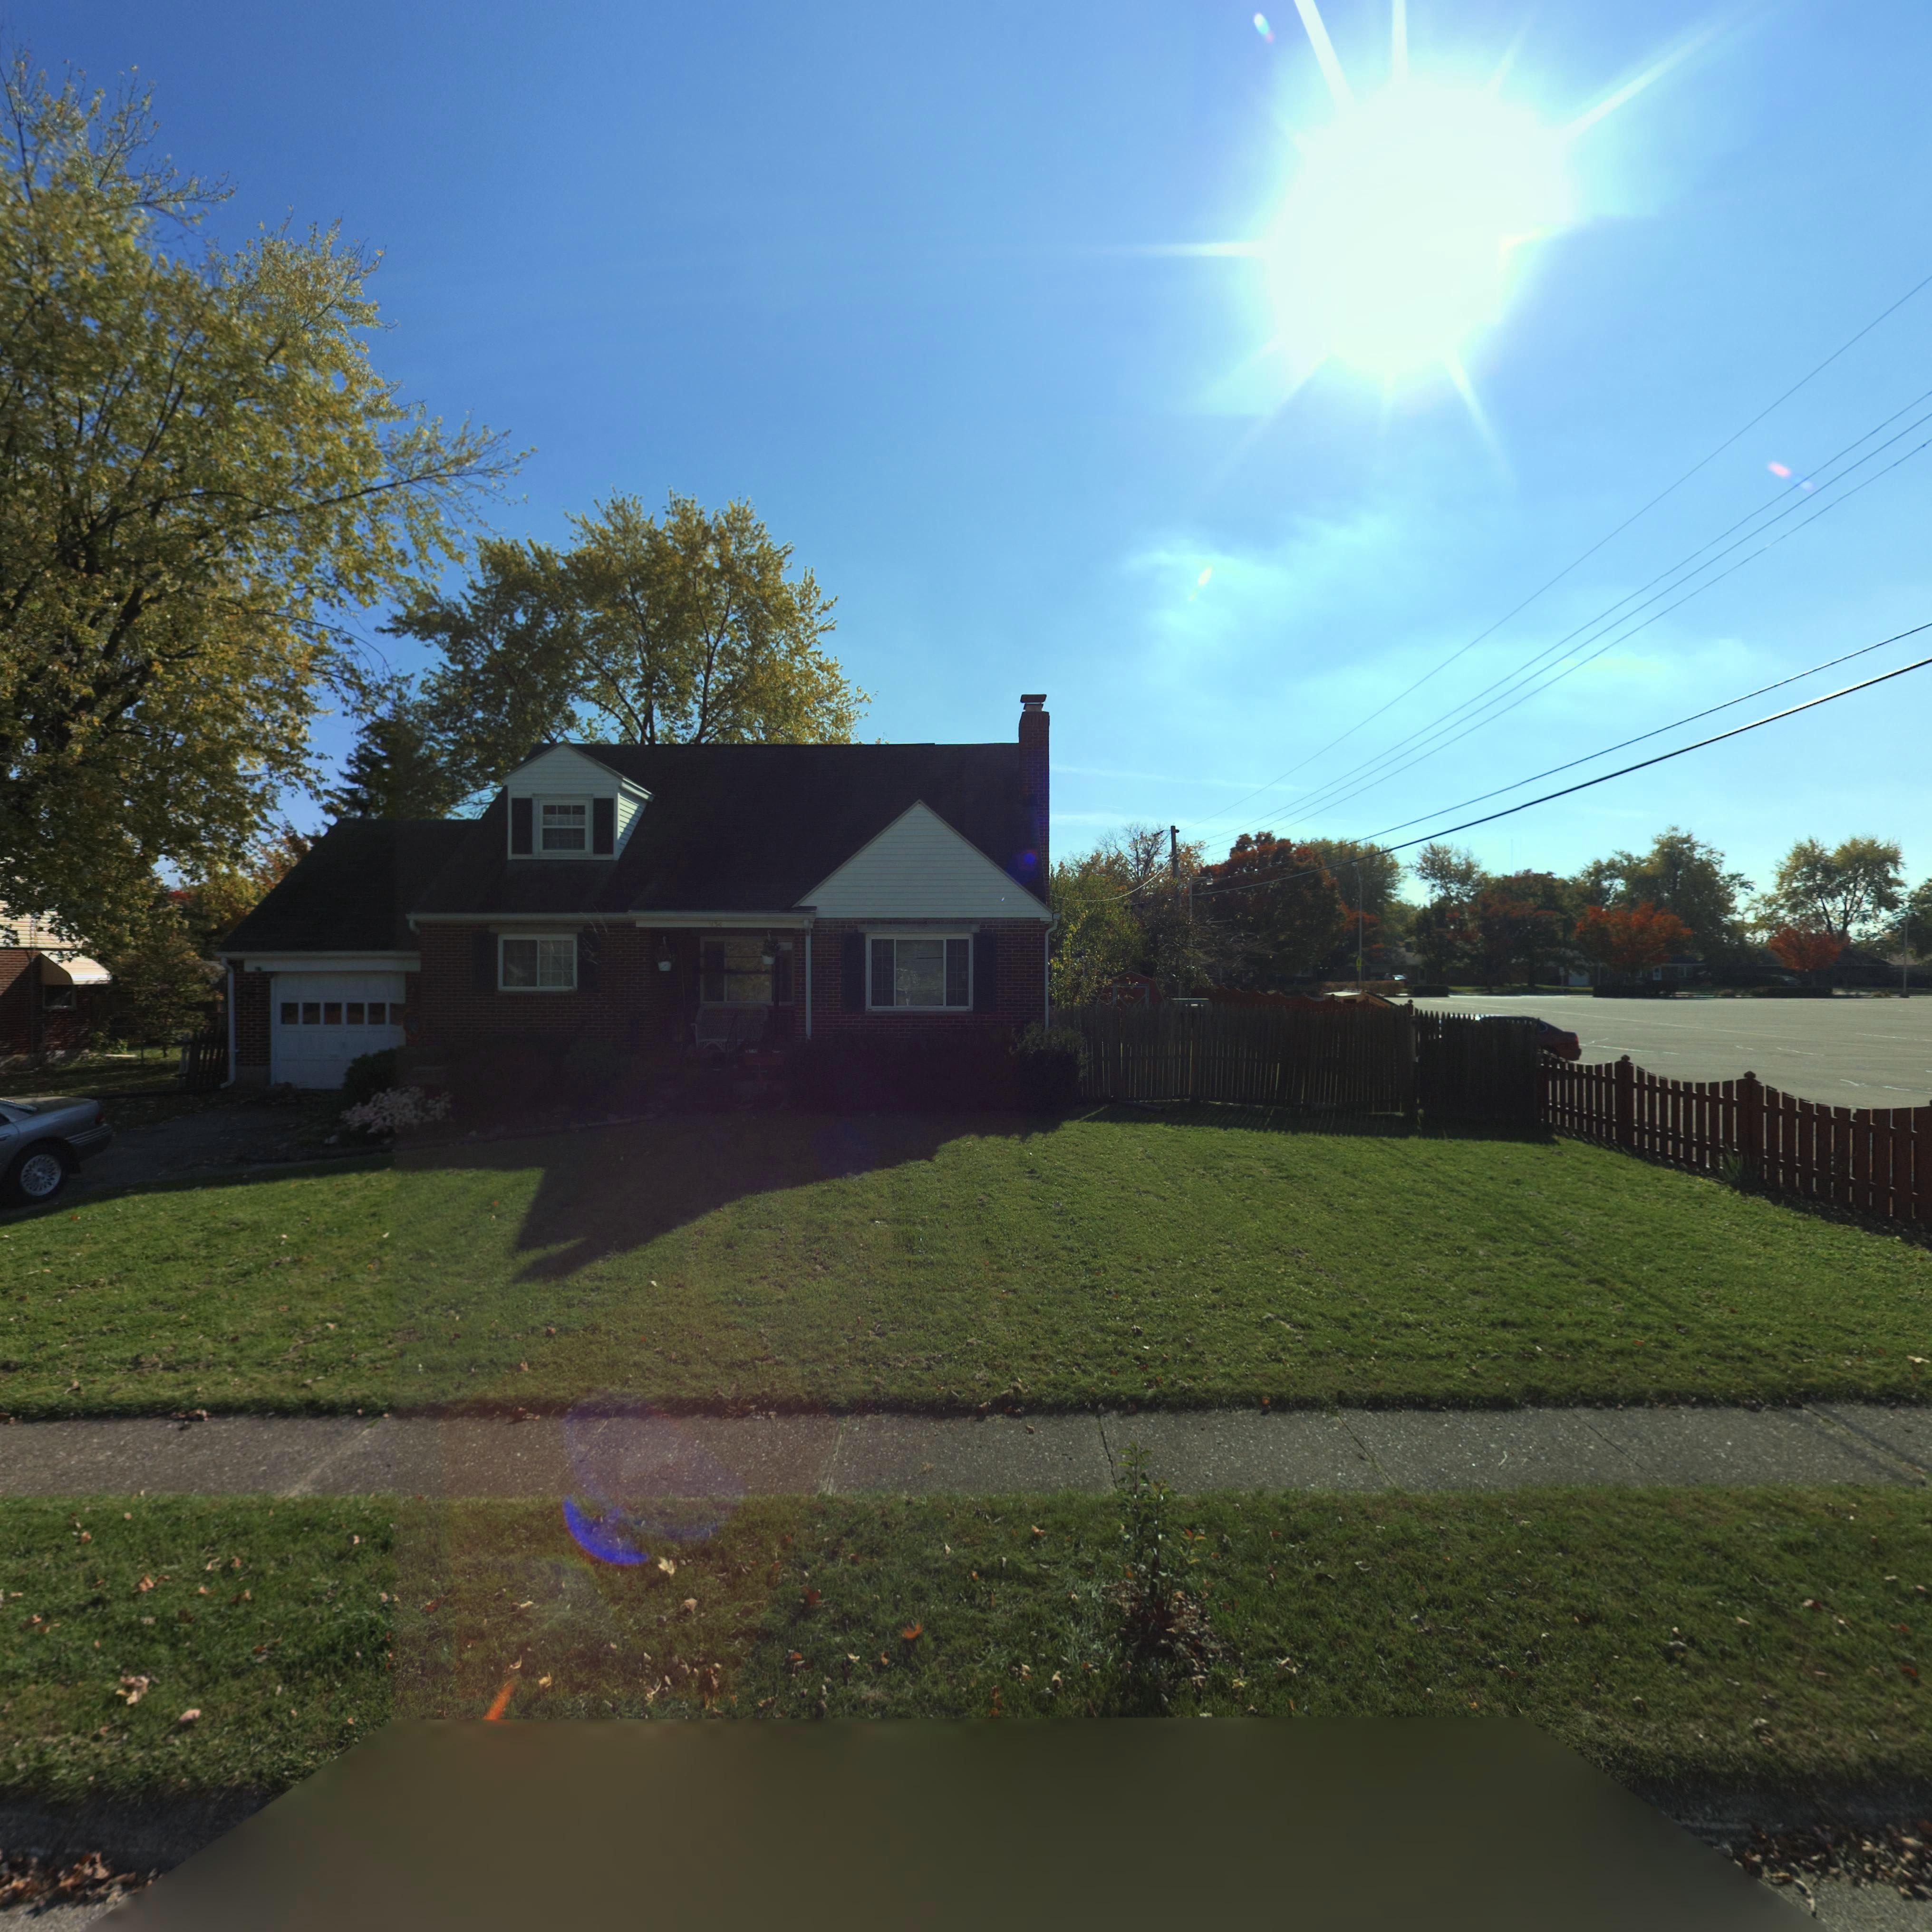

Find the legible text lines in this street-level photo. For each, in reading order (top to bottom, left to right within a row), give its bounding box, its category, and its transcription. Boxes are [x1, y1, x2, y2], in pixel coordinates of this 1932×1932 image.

[707, 920, 724, 927] StreetNumber: 934